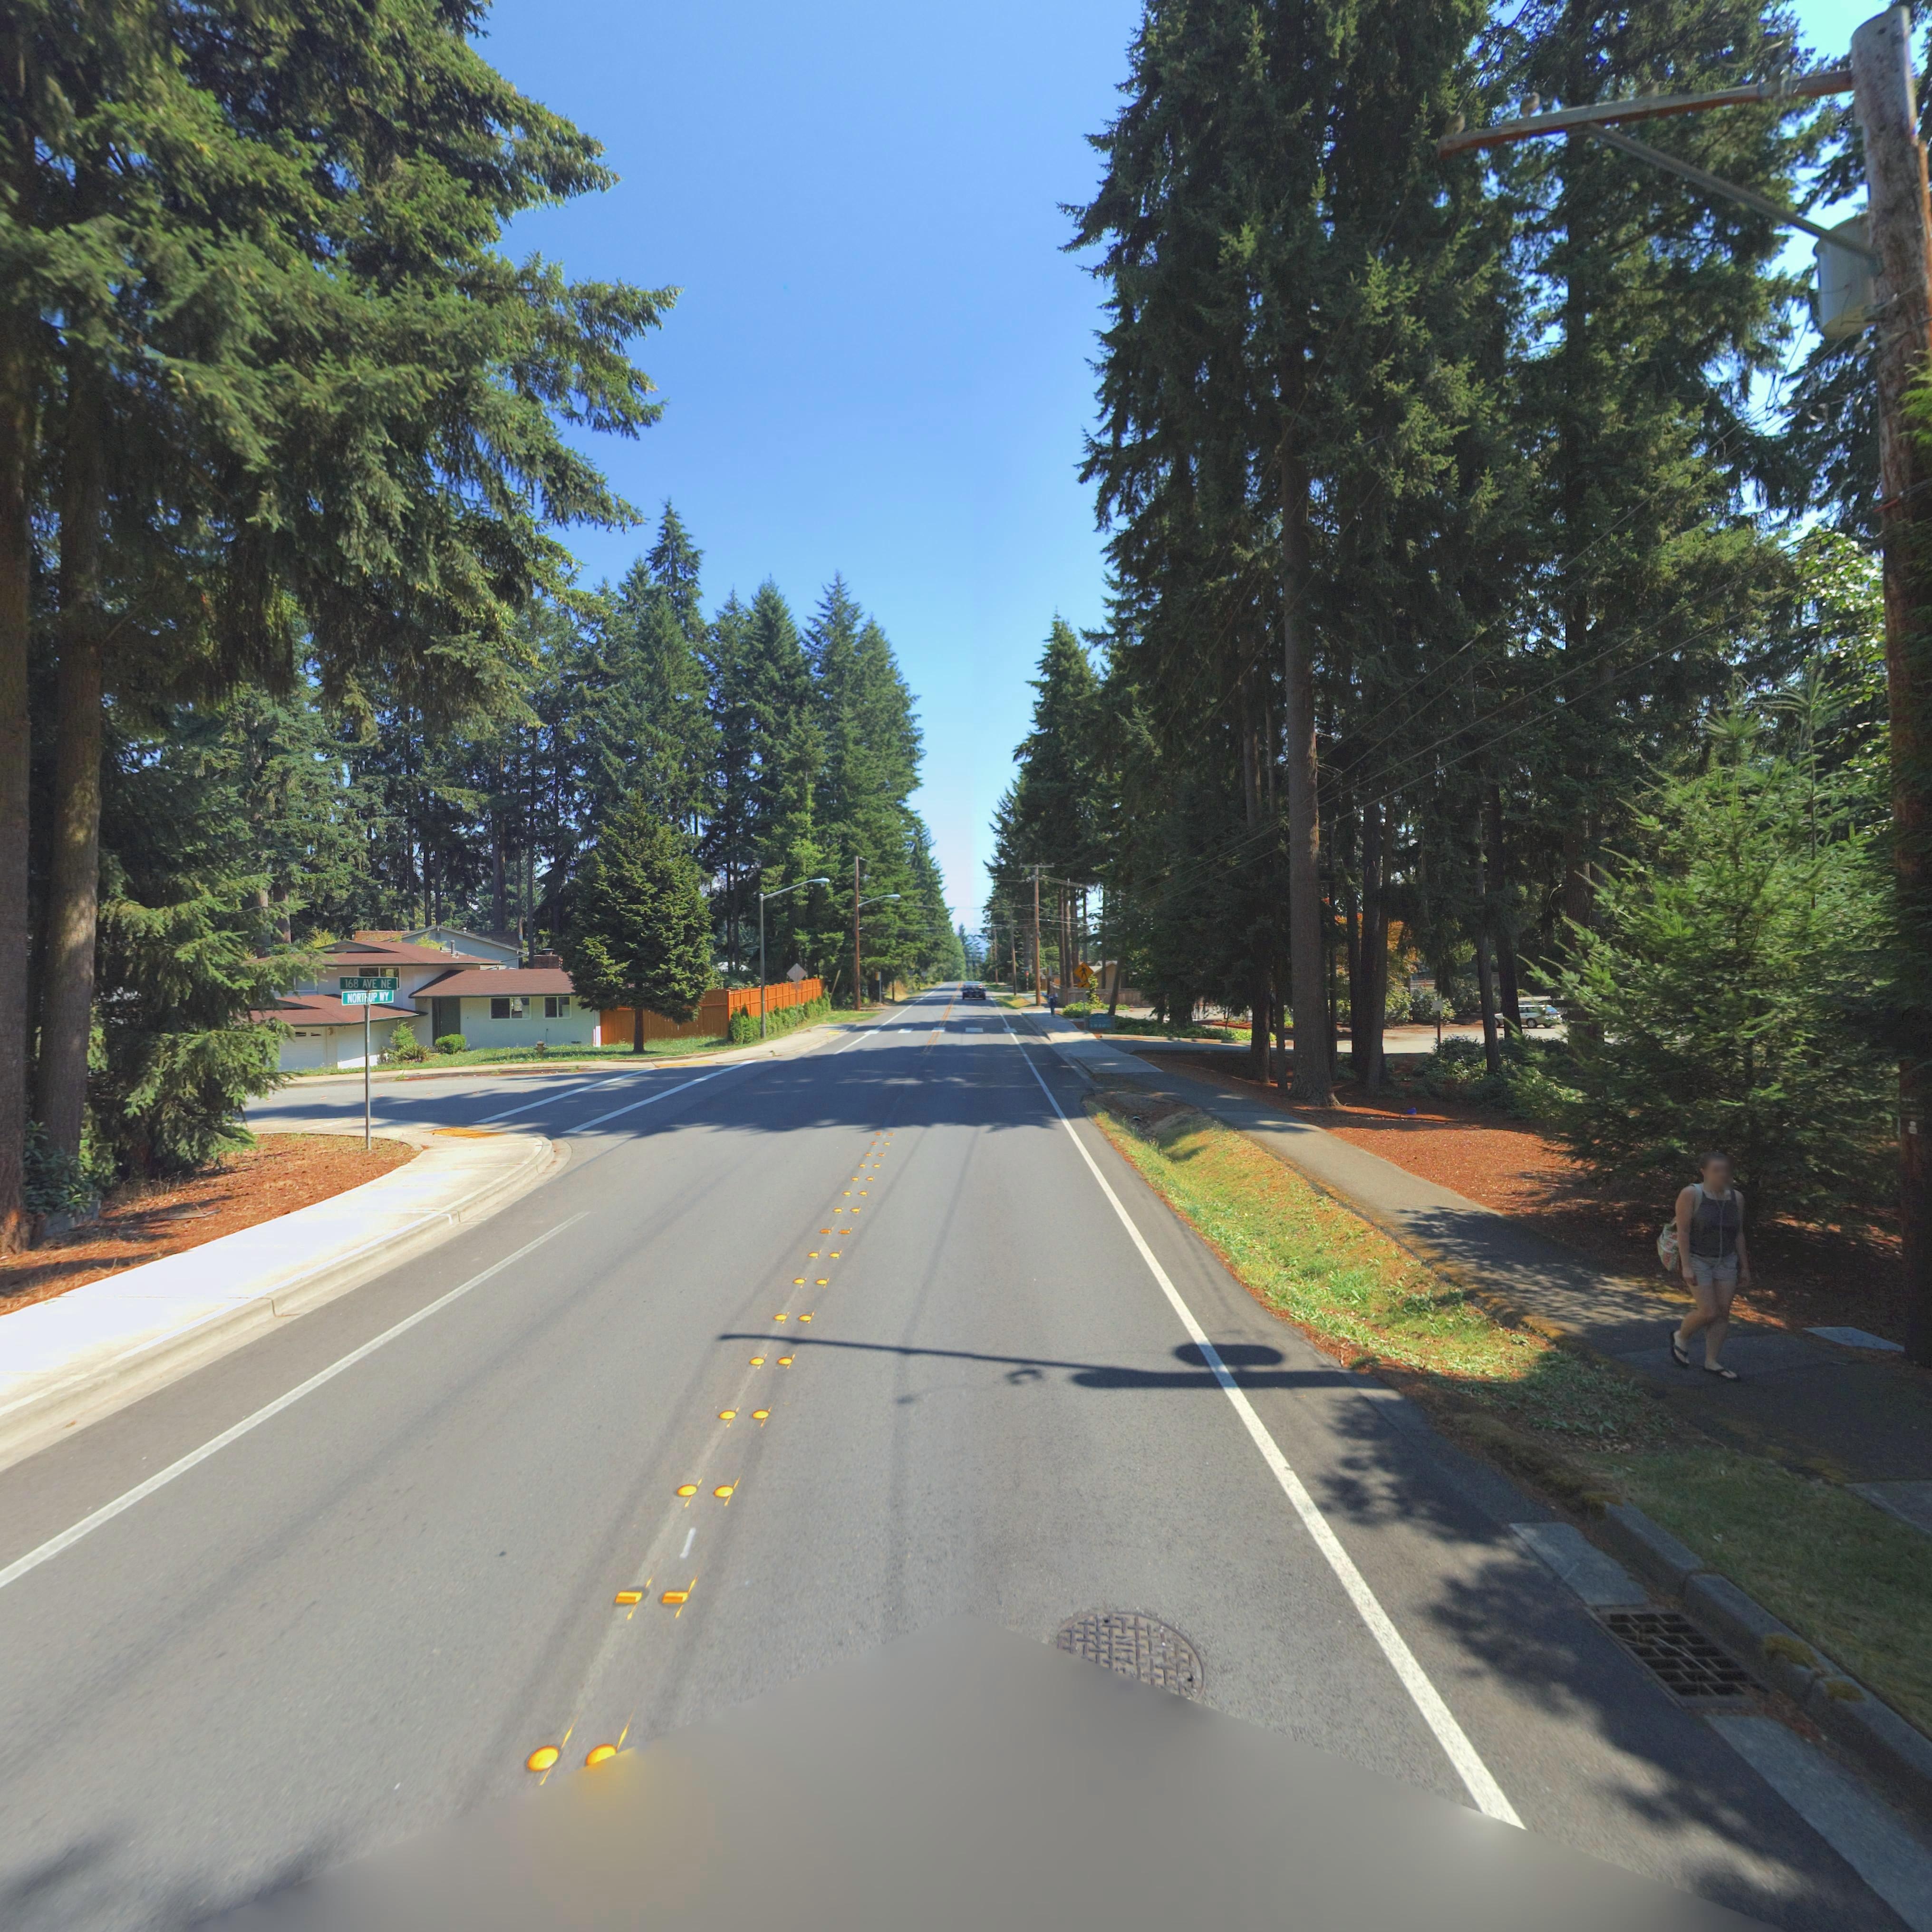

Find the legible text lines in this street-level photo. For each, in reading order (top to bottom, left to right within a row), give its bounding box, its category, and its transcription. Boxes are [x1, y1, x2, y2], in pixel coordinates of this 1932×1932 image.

[345, 978, 392, 988] StreetName: 168 AVE NE
[347, 991, 390, 1004] StreetName: NORTHUP WY